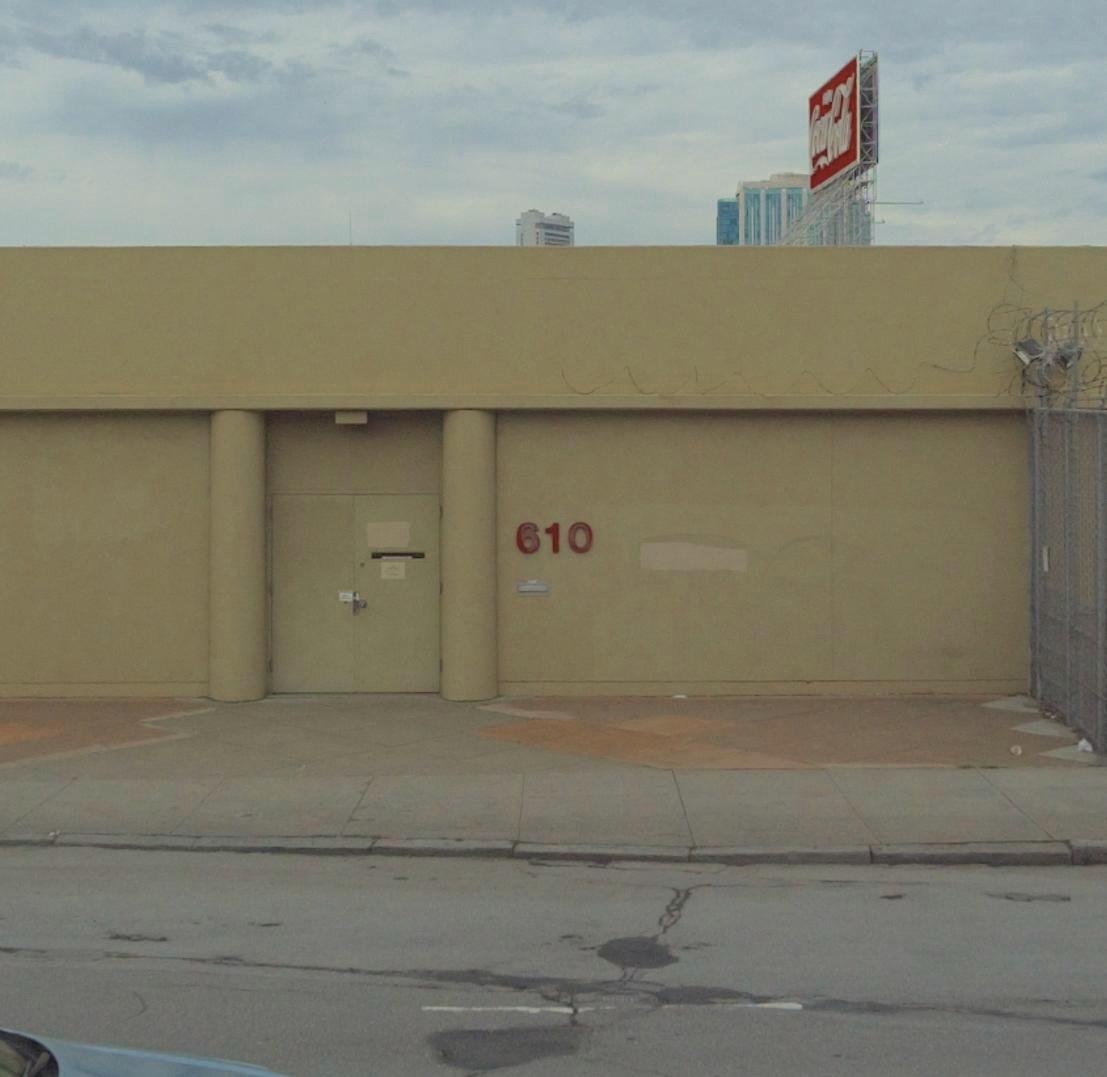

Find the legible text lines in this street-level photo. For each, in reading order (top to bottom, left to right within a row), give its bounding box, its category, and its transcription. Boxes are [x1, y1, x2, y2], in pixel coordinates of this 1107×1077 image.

[514, 519, 595, 557] StreetNumber: 610